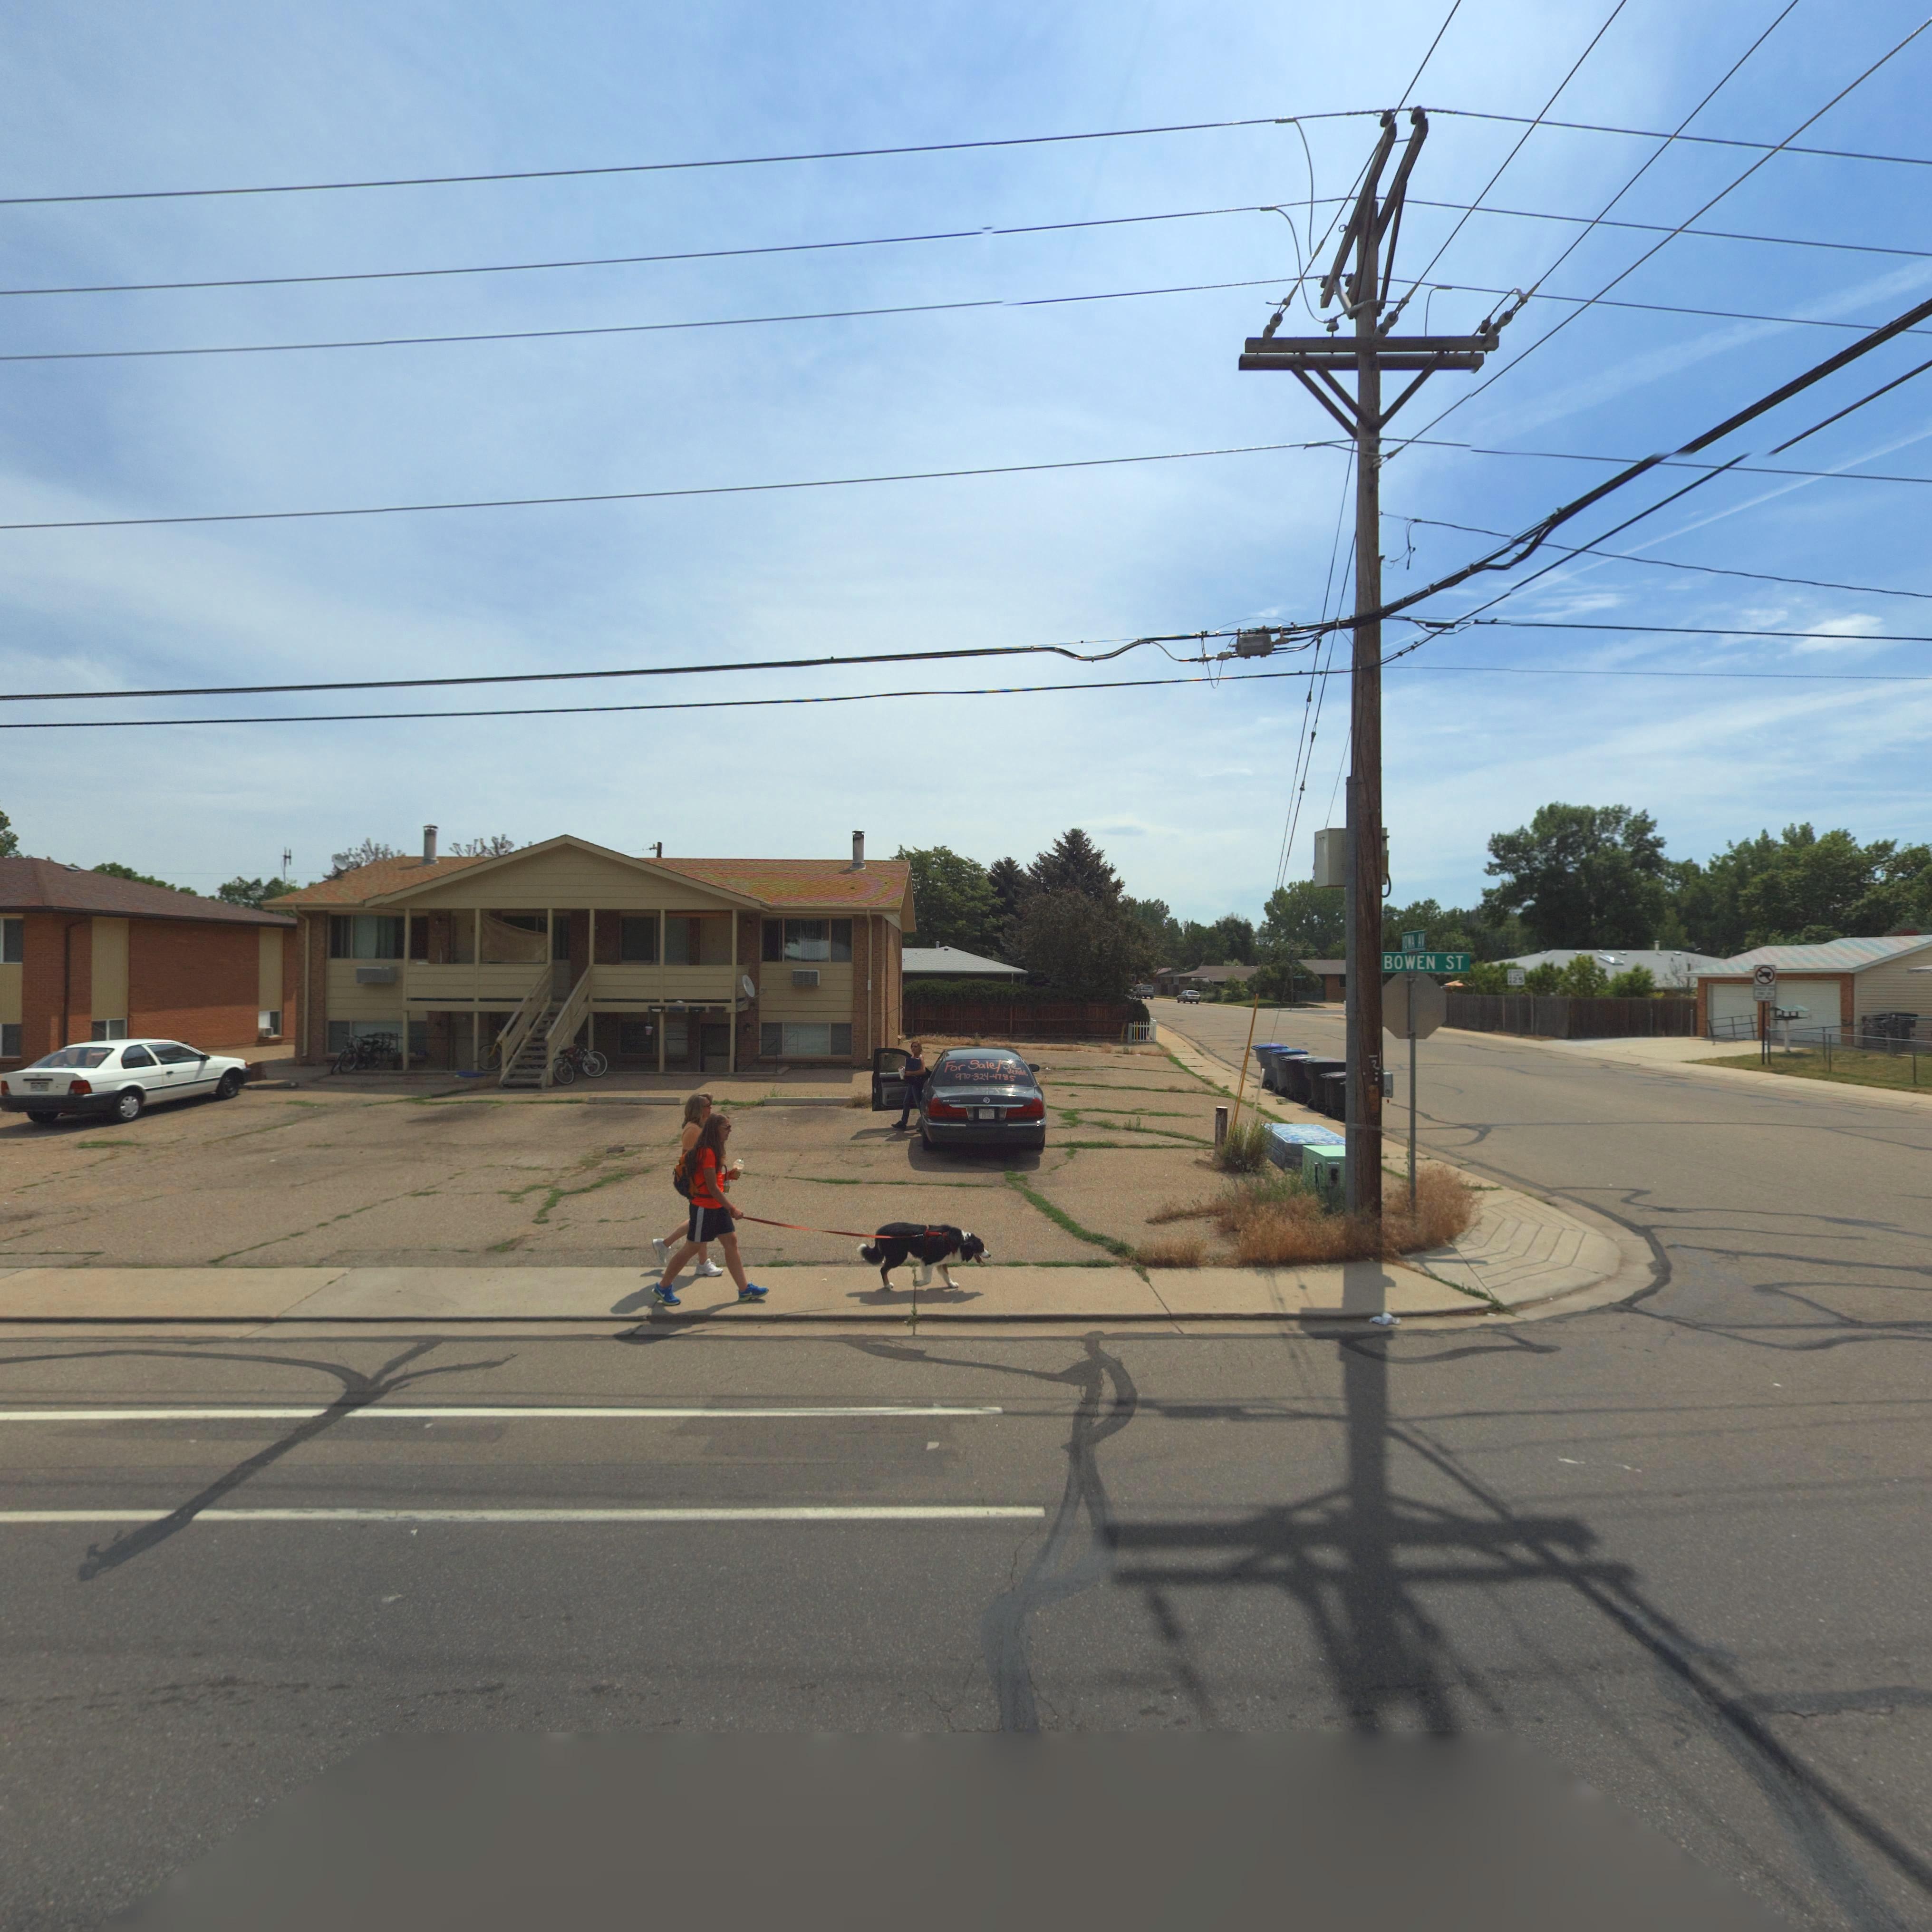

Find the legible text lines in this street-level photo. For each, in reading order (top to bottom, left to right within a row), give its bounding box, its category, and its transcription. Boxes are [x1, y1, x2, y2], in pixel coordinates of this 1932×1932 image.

[1401, 932, 1425, 949] StreetName: IOWA AV
[1383, 954, 1464, 970] StreetName: BOWEN ST